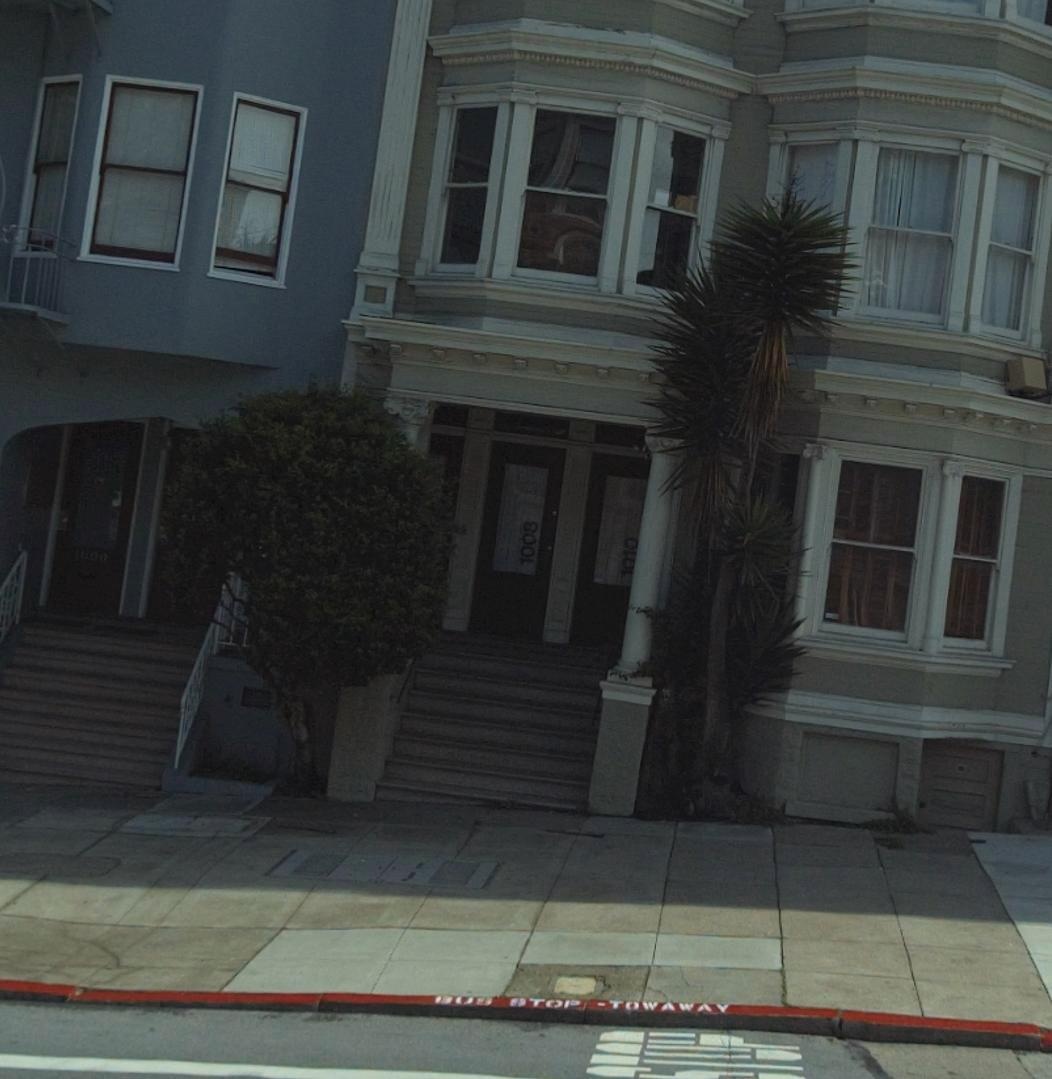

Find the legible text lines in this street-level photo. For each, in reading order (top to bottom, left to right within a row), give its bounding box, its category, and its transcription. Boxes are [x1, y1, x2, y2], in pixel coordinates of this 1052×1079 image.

[72, 546, 110, 566] StreetNumber: 1***
[517, 518, 541, 568] StreetNumber: 1008
[618, 533, 640, 581] StreetNumber: 1010
[429, 992, 735, 1016] None: BUS STOP -TOWAWAY
[583, 1025, 807, 1075] None: TOP